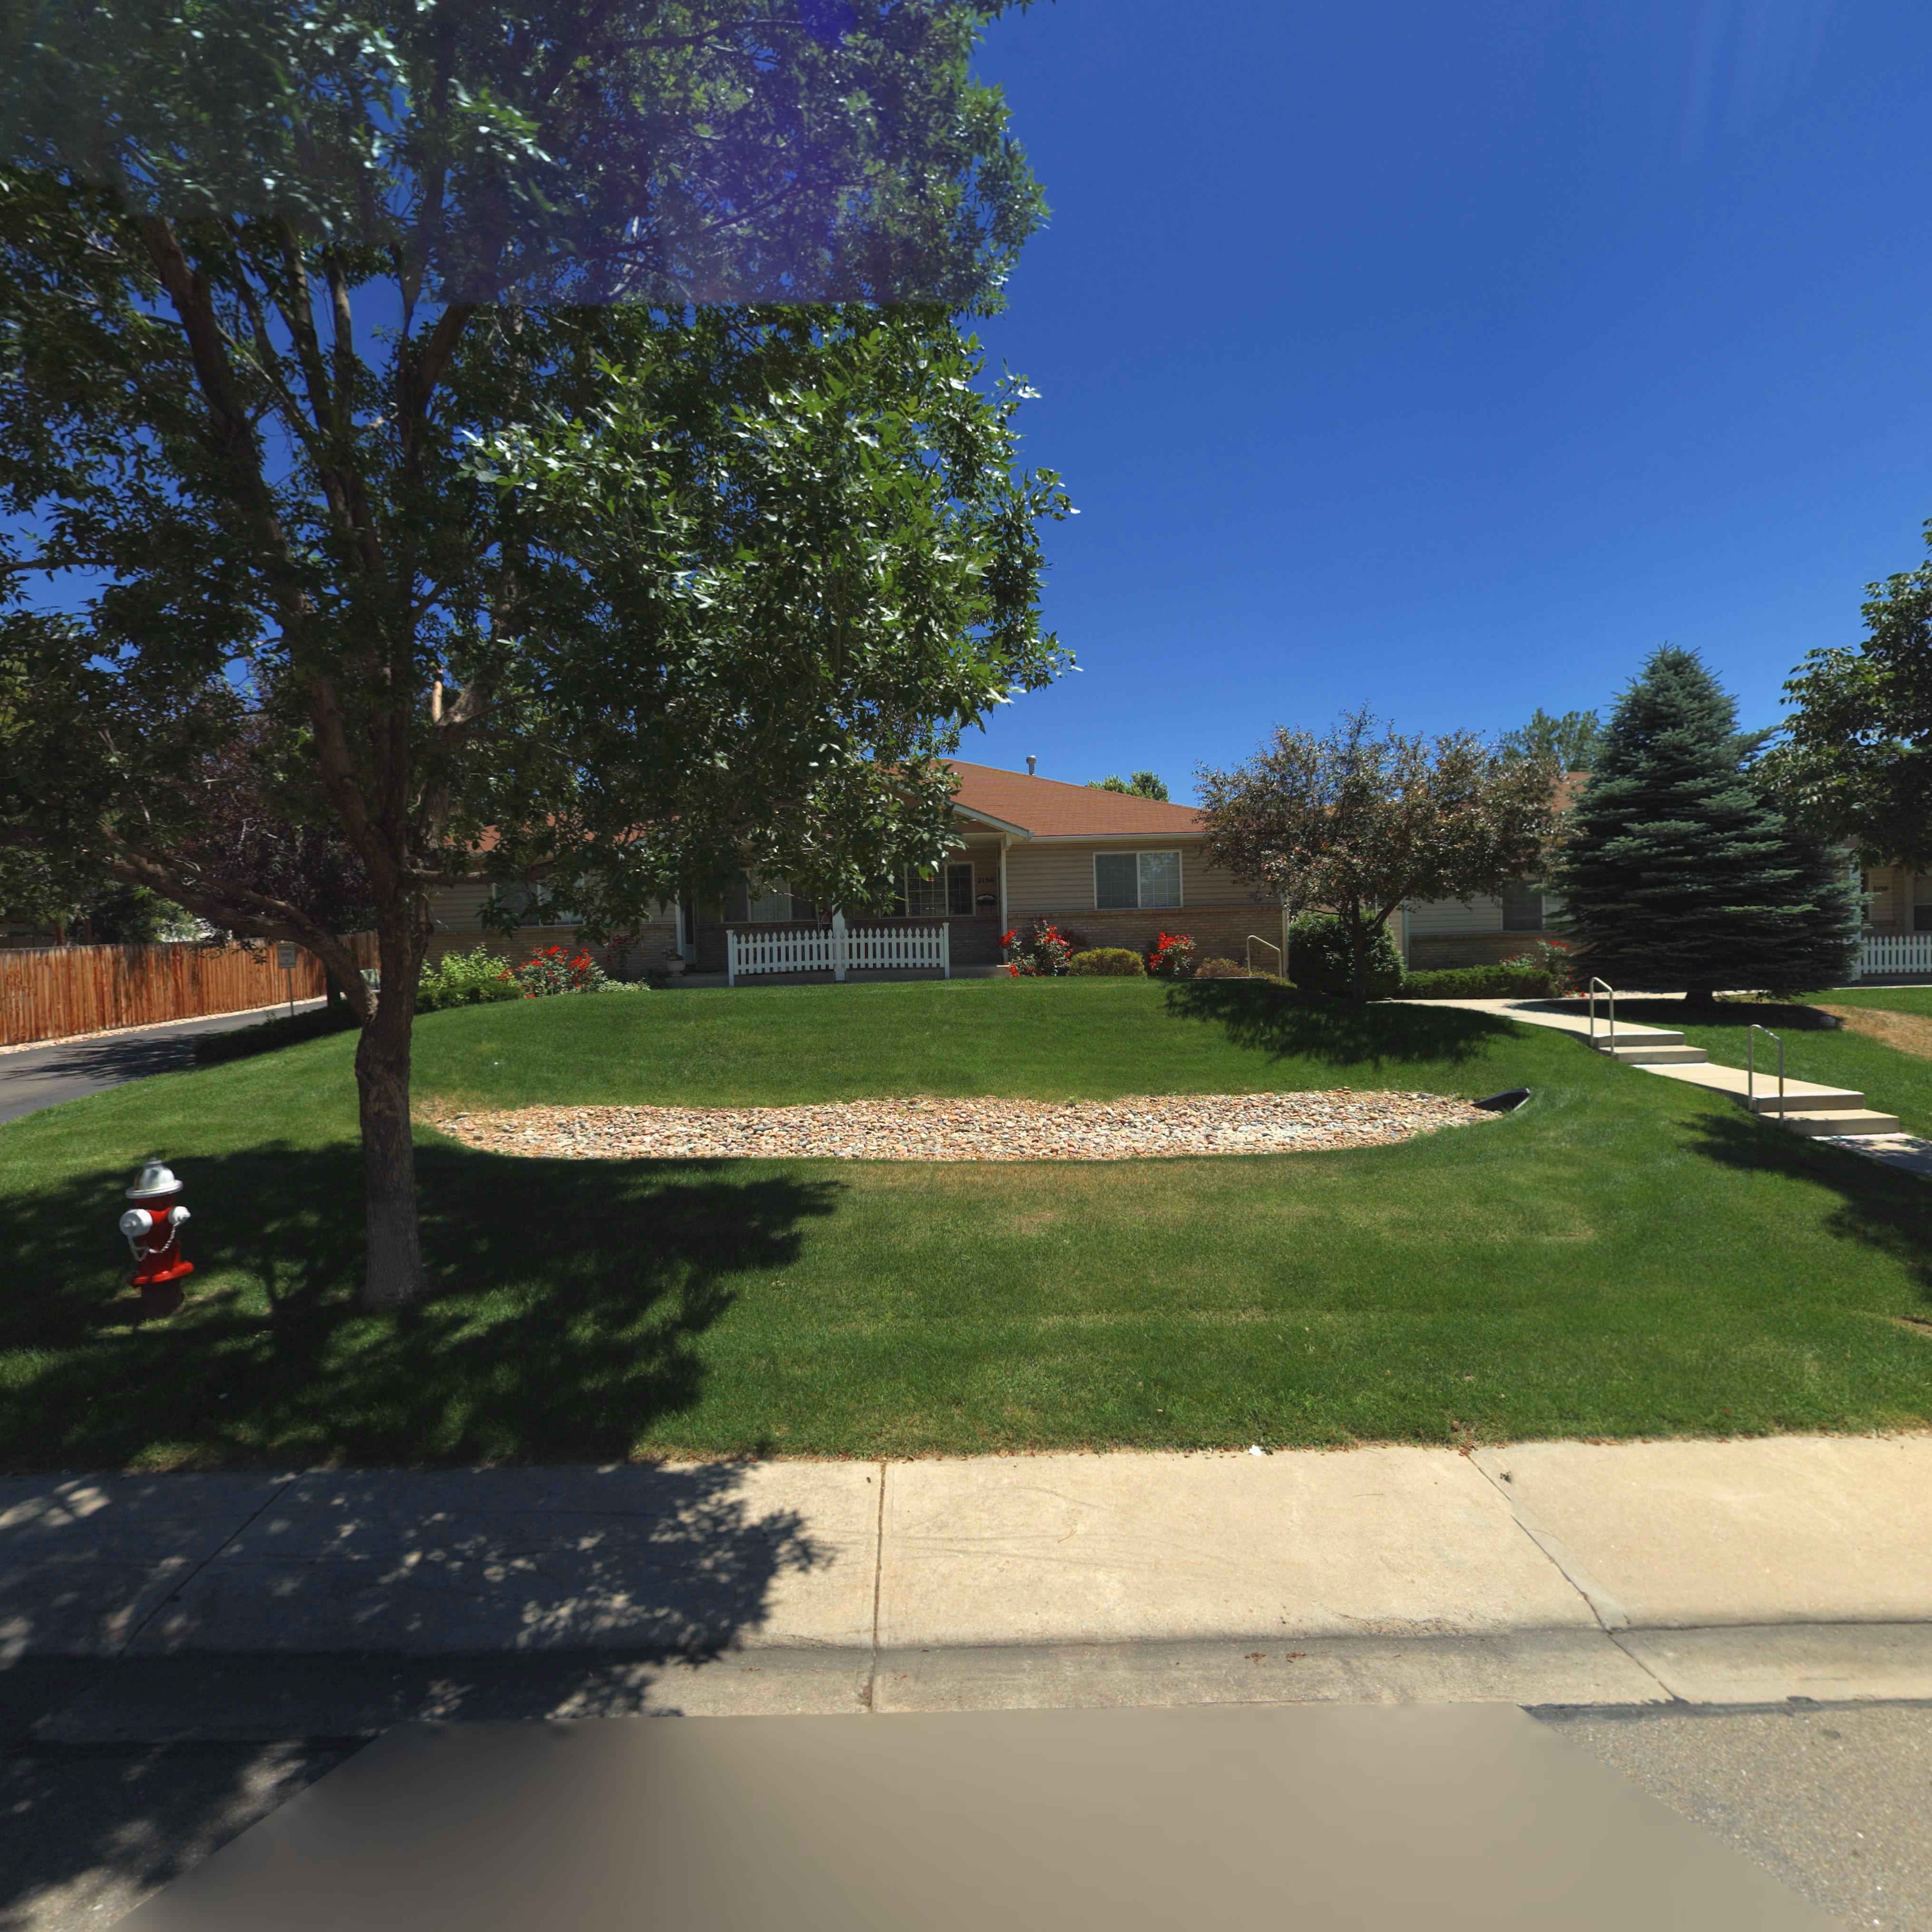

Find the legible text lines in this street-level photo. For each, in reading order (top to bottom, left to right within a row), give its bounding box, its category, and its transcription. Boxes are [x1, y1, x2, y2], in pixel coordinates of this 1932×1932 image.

[976, 875, 995, 884] StreetNumber: 2156